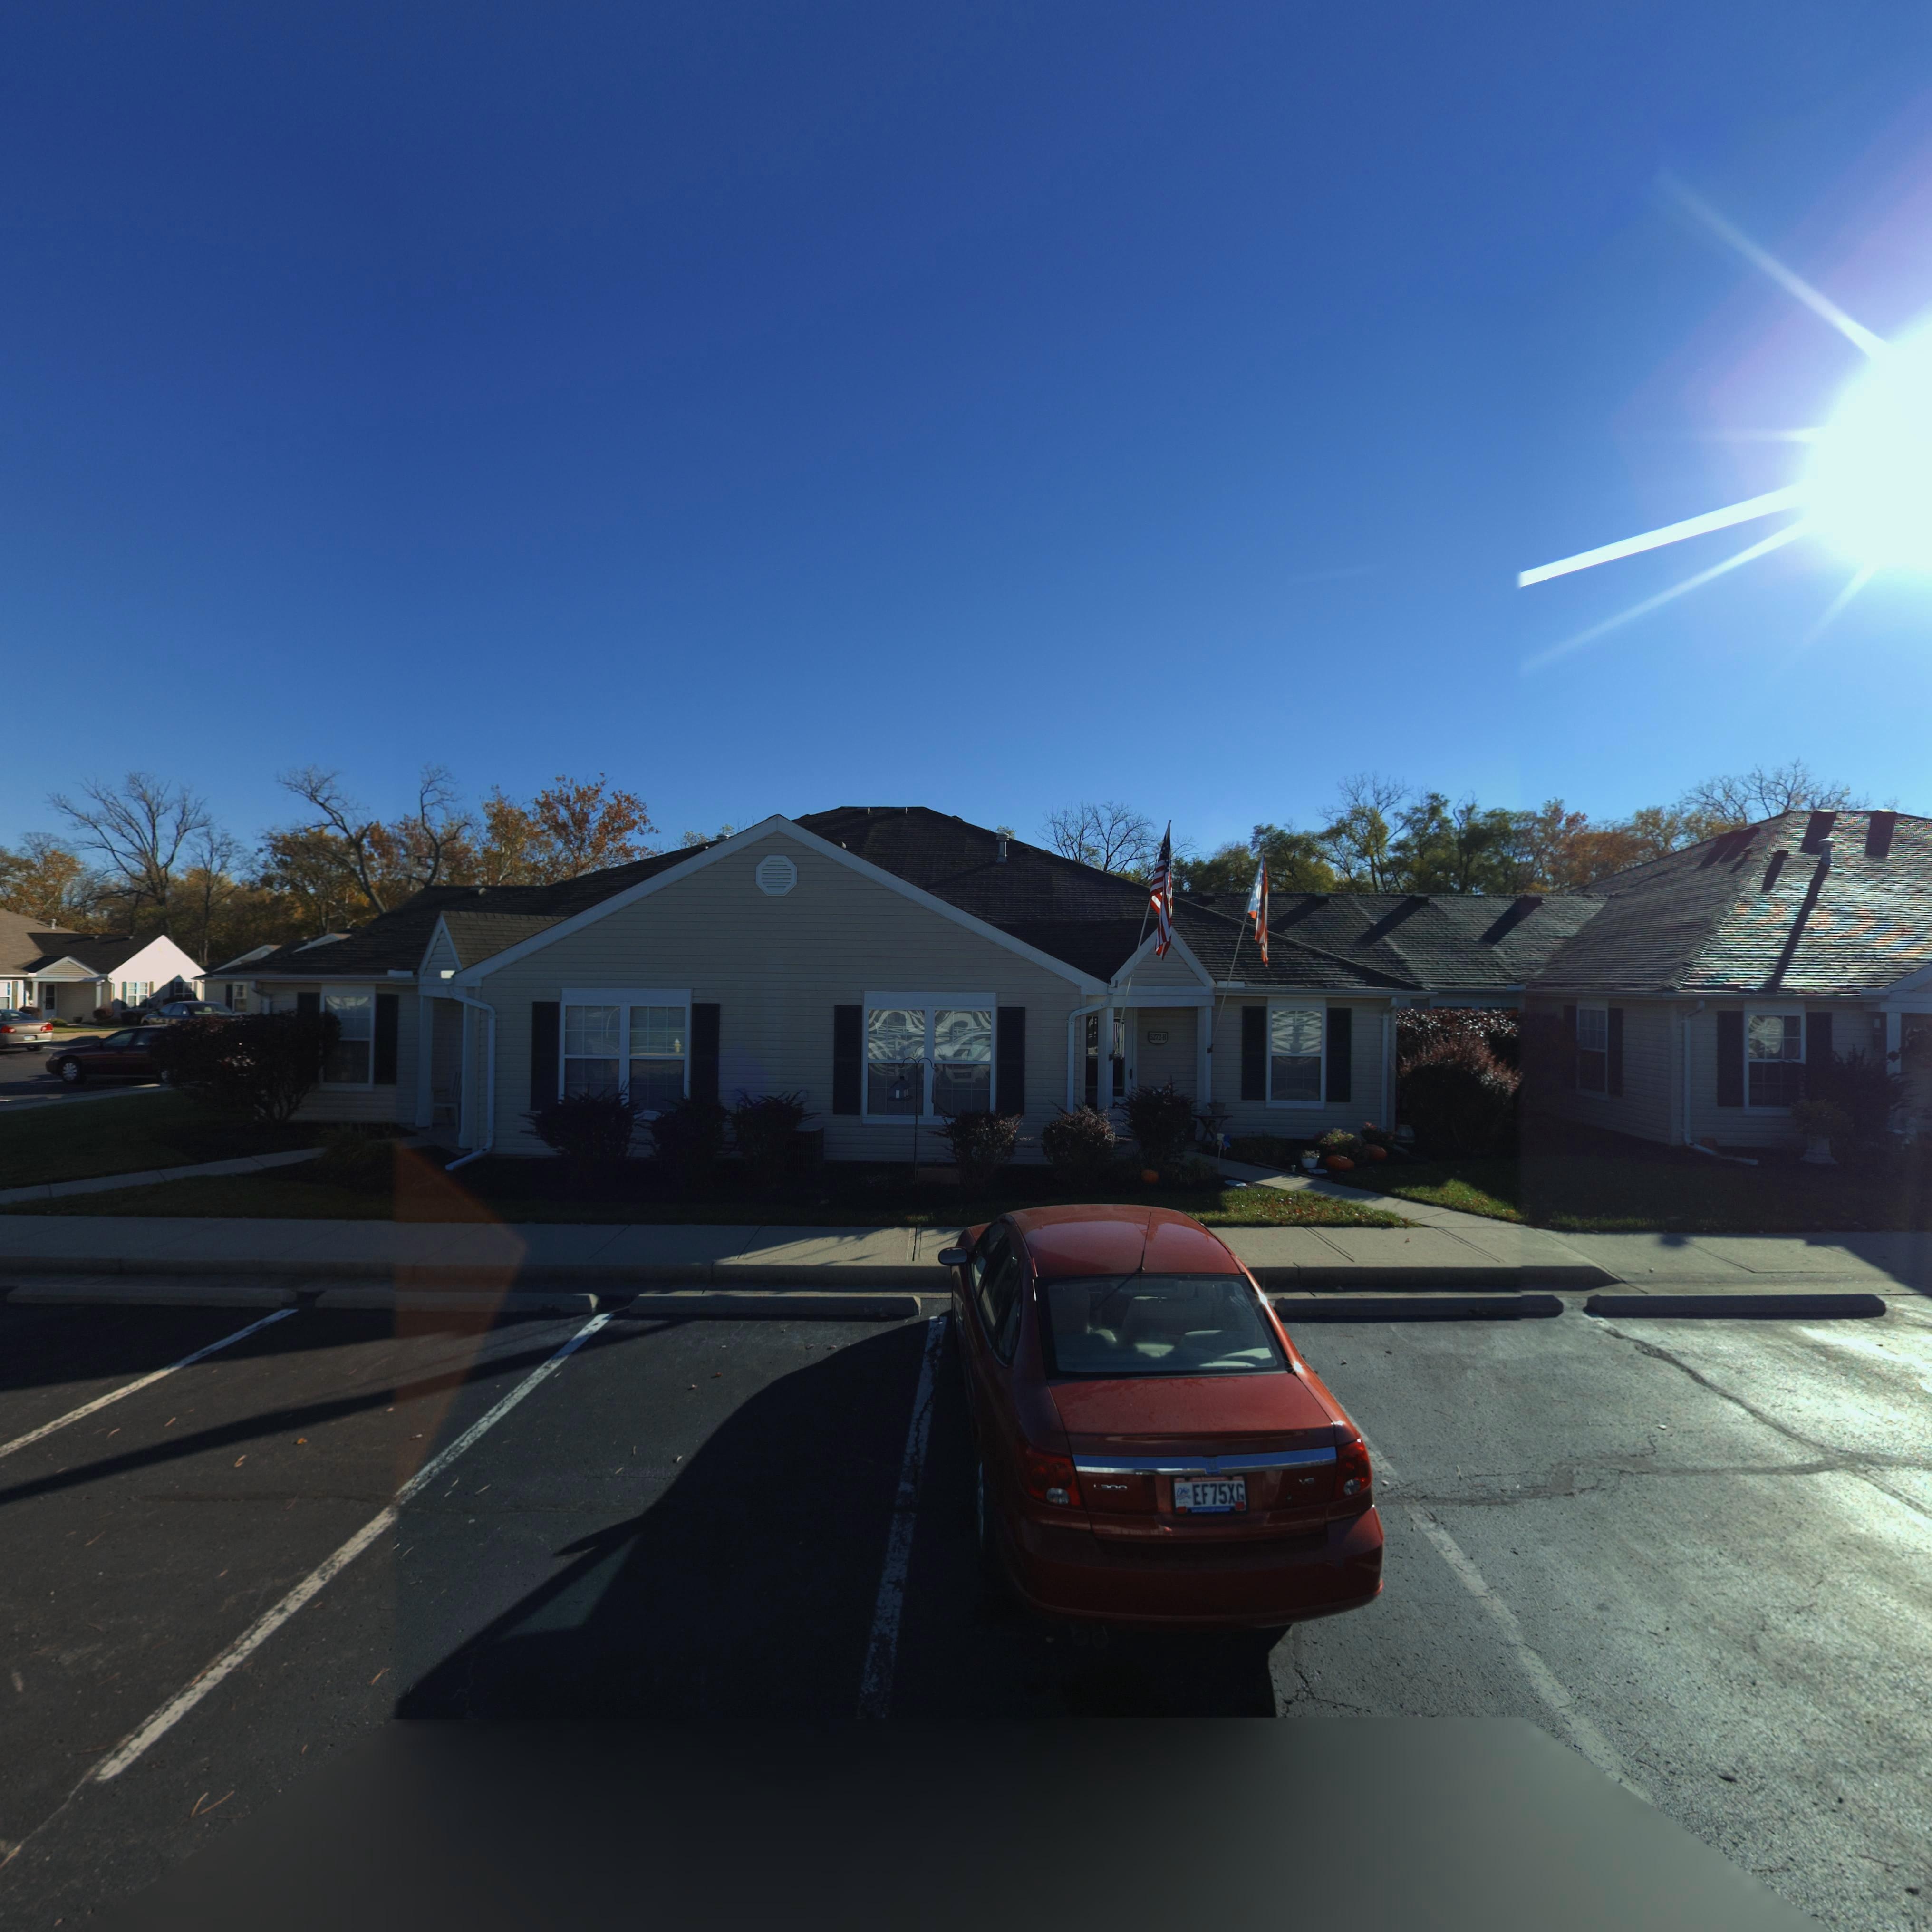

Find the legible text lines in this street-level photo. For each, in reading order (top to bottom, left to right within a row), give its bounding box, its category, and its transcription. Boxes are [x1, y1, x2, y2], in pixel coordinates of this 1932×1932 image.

[1149, 1033, 1167, 1041] StreetNumber: 5272-B